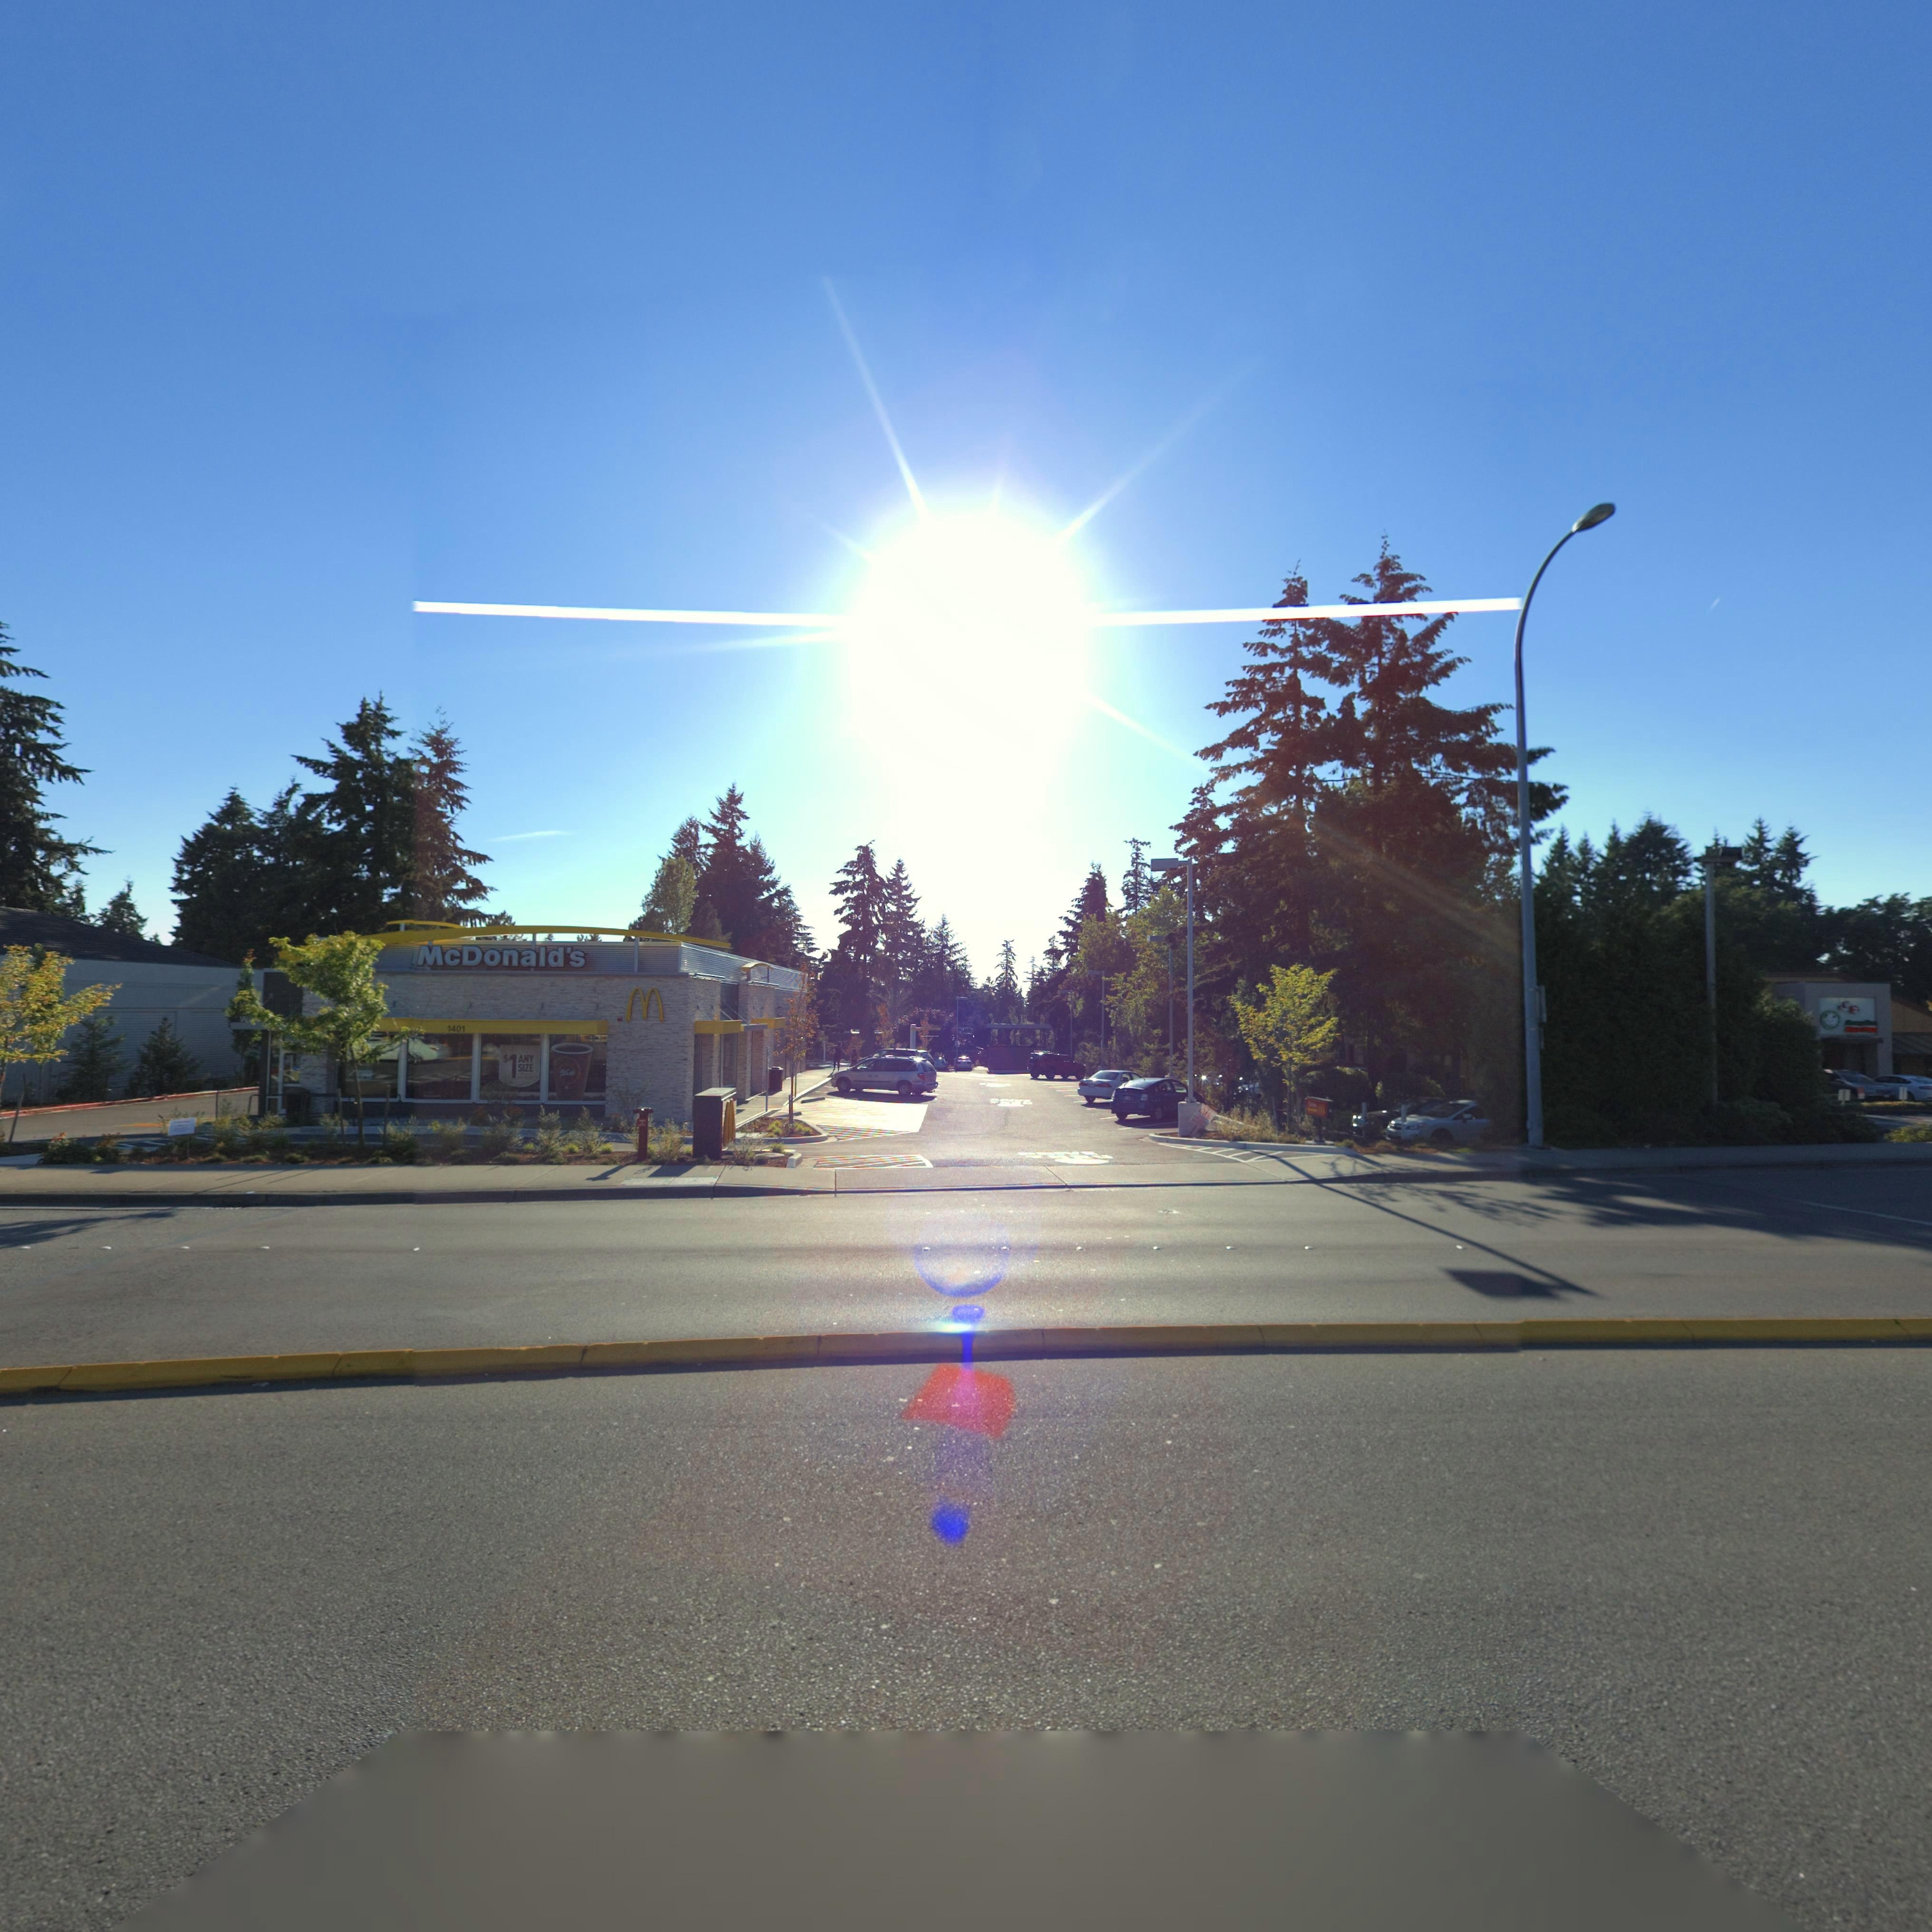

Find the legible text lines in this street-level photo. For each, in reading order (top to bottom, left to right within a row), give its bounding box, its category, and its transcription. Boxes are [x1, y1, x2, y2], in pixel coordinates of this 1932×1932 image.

[447, 1025, 466, 1033] StreetNumber: 1401